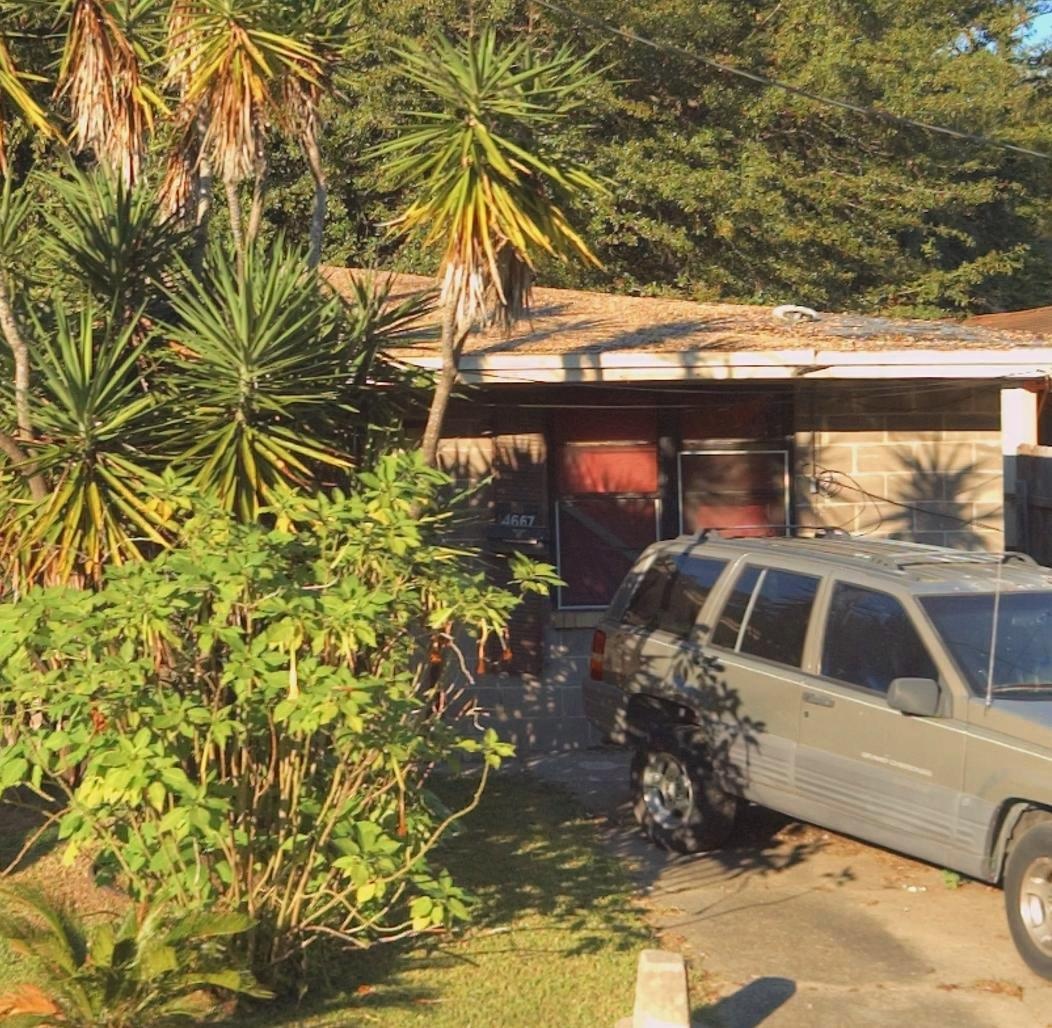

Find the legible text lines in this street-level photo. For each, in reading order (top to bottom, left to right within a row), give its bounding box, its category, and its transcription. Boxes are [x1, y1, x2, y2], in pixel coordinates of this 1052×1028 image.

[500, 513, 536, 529] StreetNumber: 4667